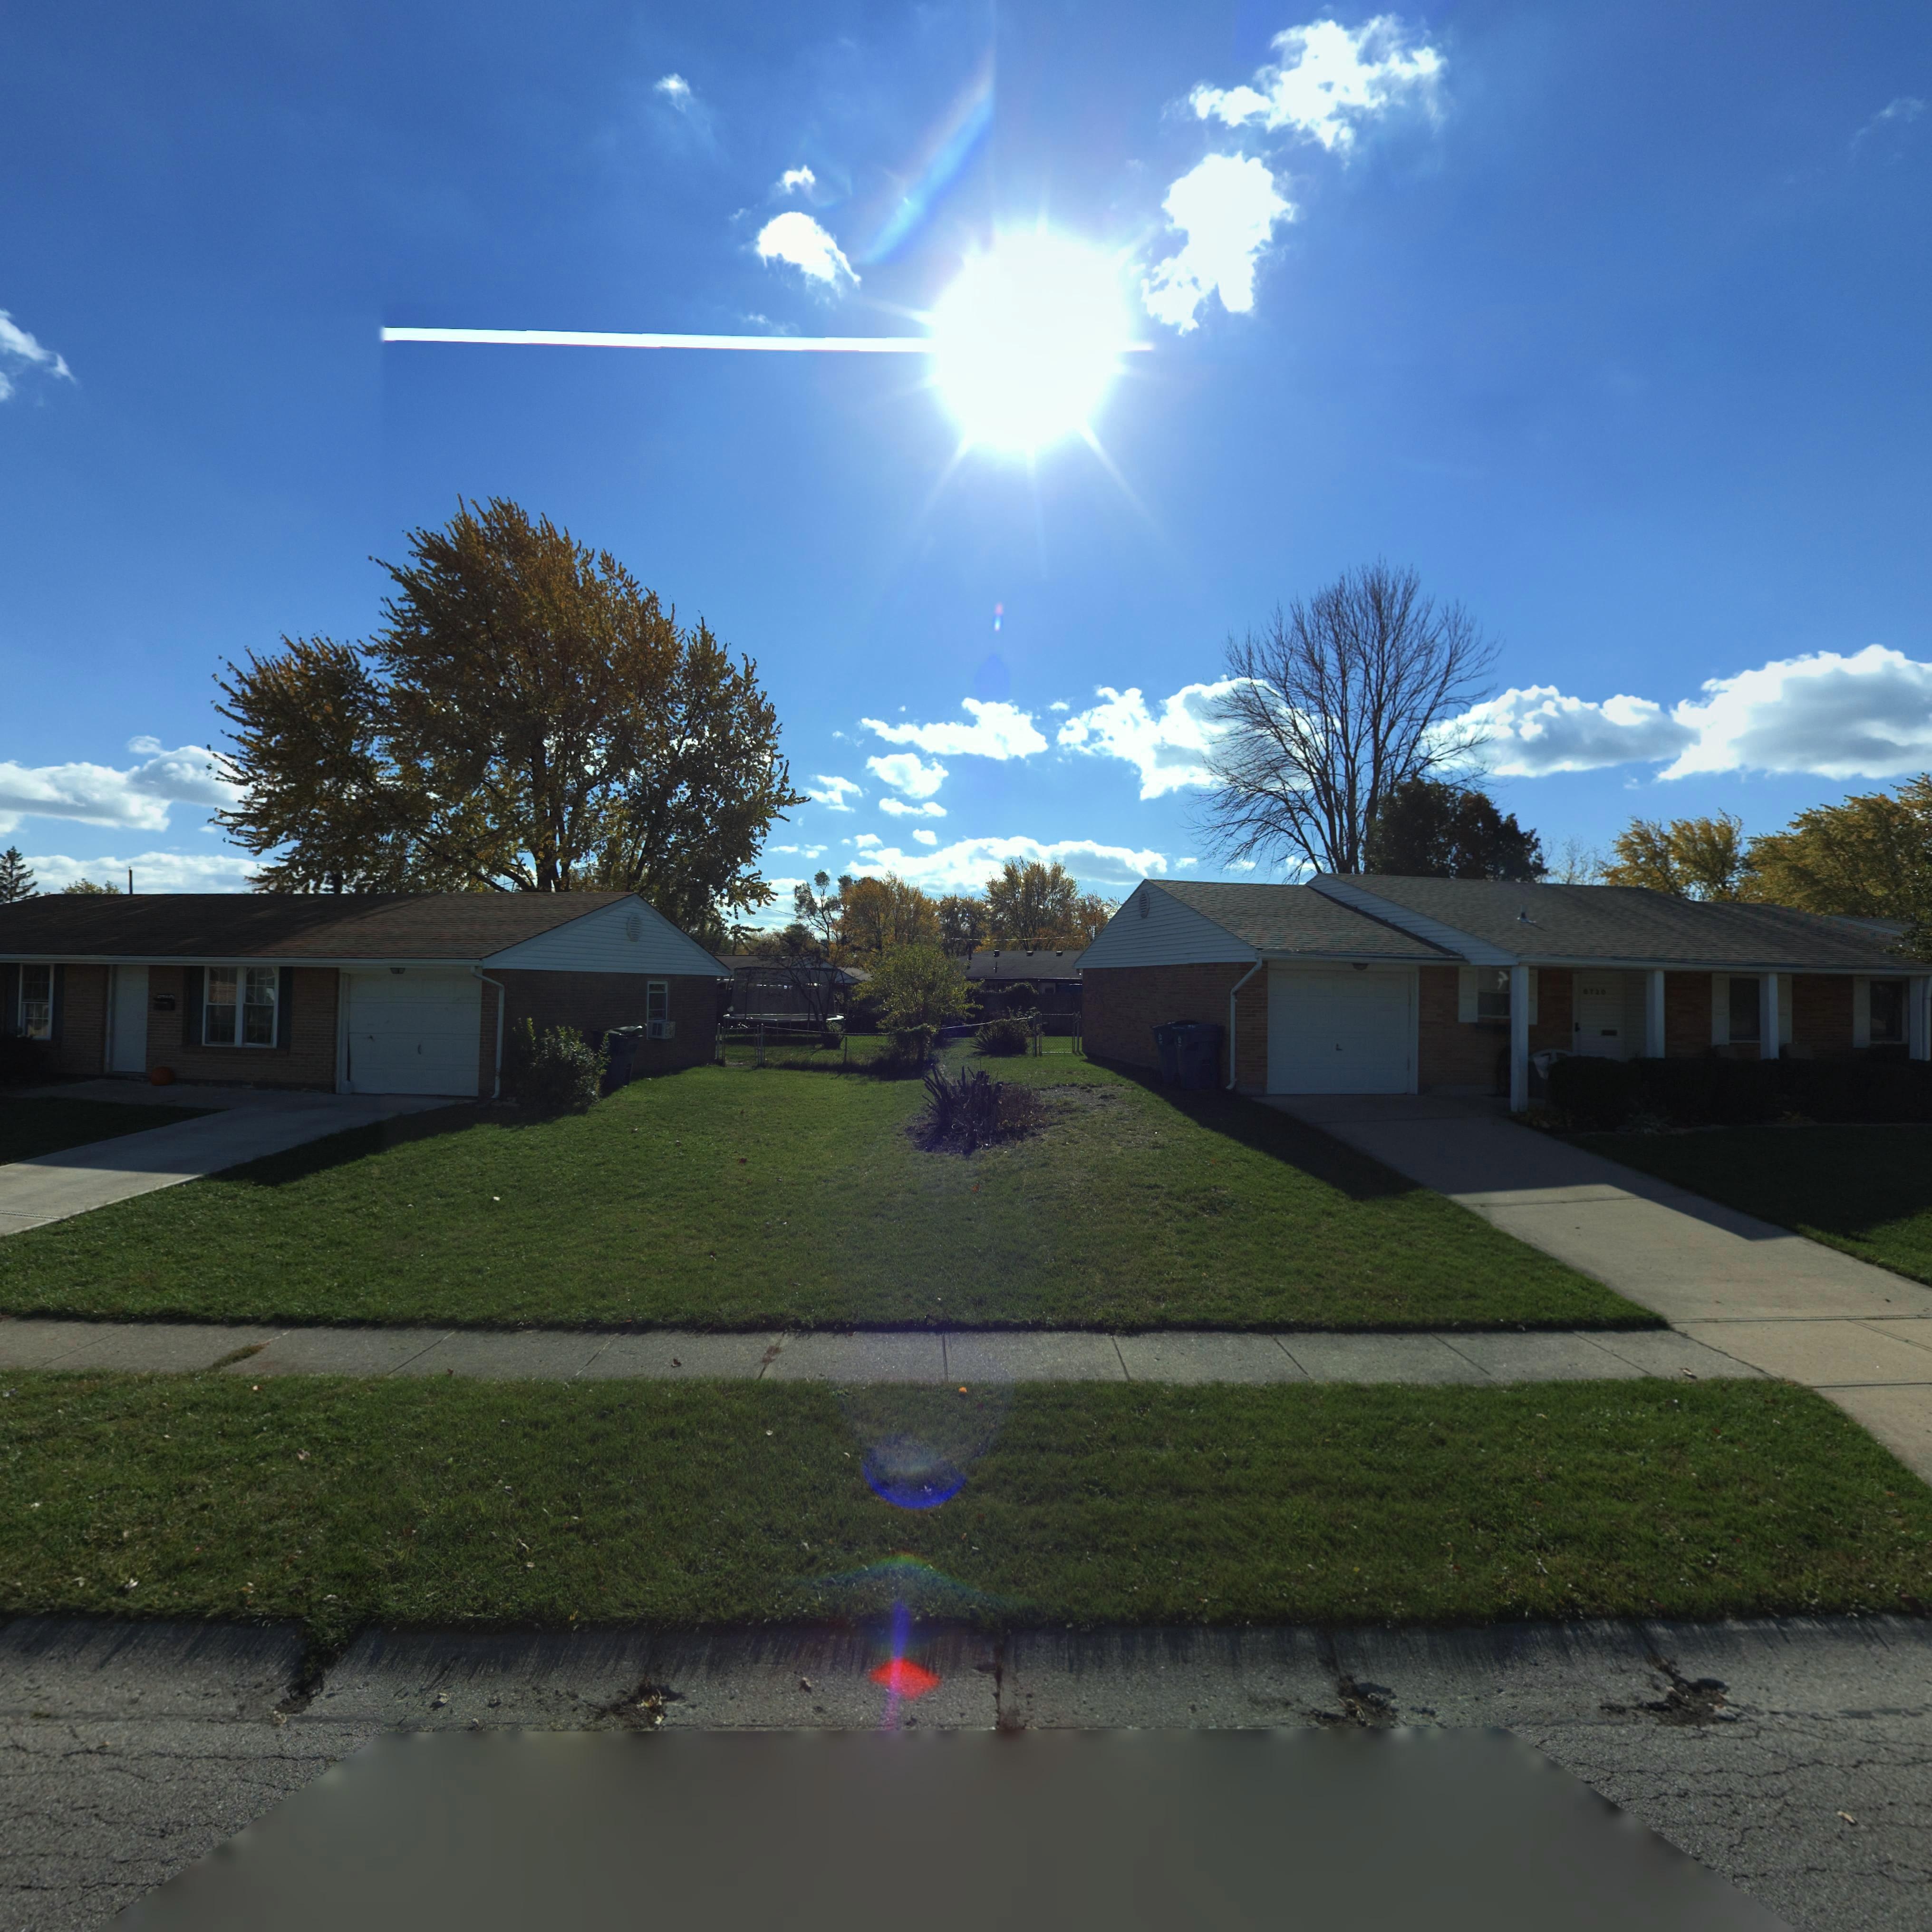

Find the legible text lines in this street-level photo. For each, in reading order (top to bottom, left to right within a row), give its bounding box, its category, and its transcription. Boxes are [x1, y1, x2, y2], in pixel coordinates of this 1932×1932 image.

[1583, 987, 1607, 996] StreetNumber: *720